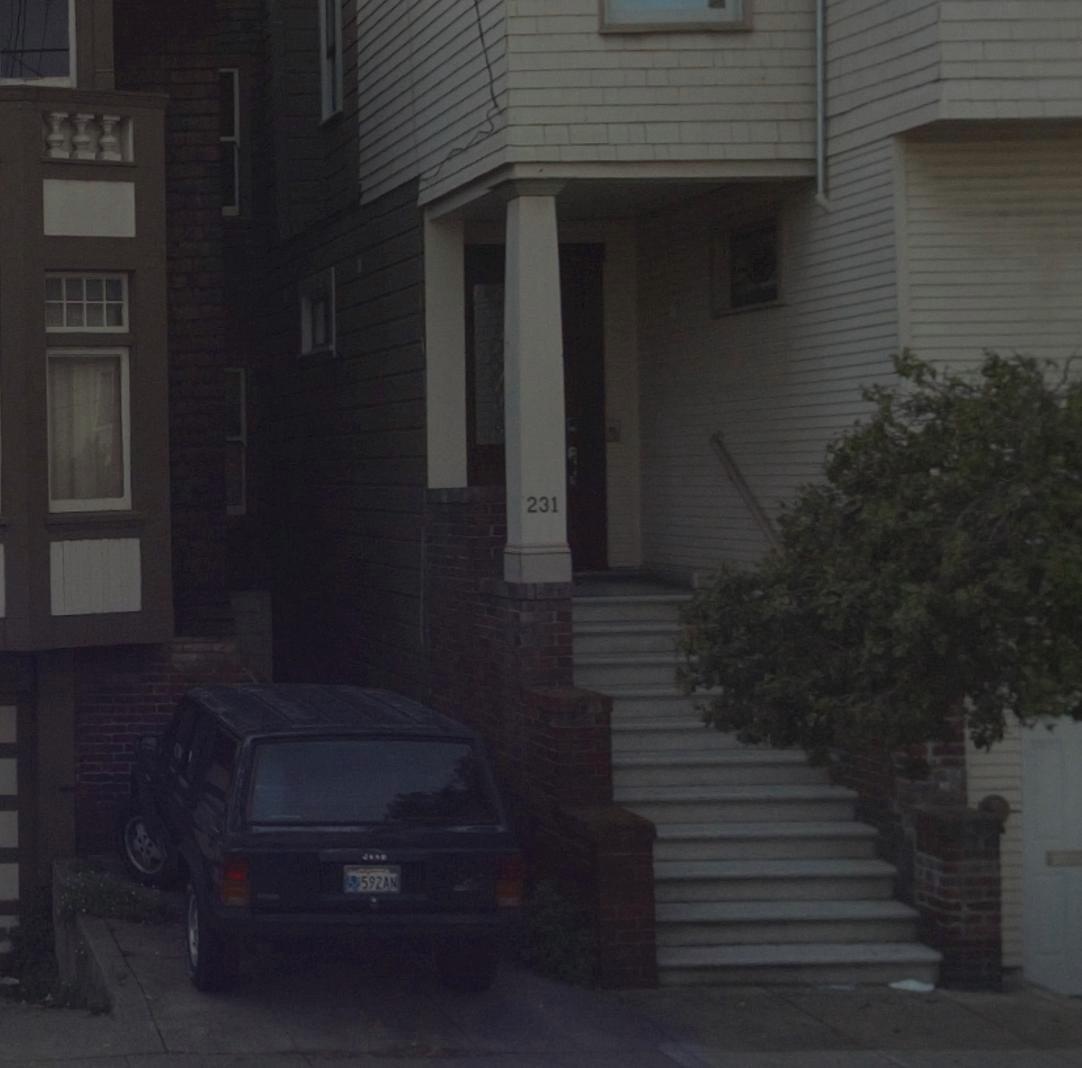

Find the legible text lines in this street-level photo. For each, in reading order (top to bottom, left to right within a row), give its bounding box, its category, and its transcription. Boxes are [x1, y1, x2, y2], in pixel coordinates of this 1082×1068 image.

[526, 495, 560, 514] StreetNumber: 231
[360, 875, 398, 890] None: 592AN